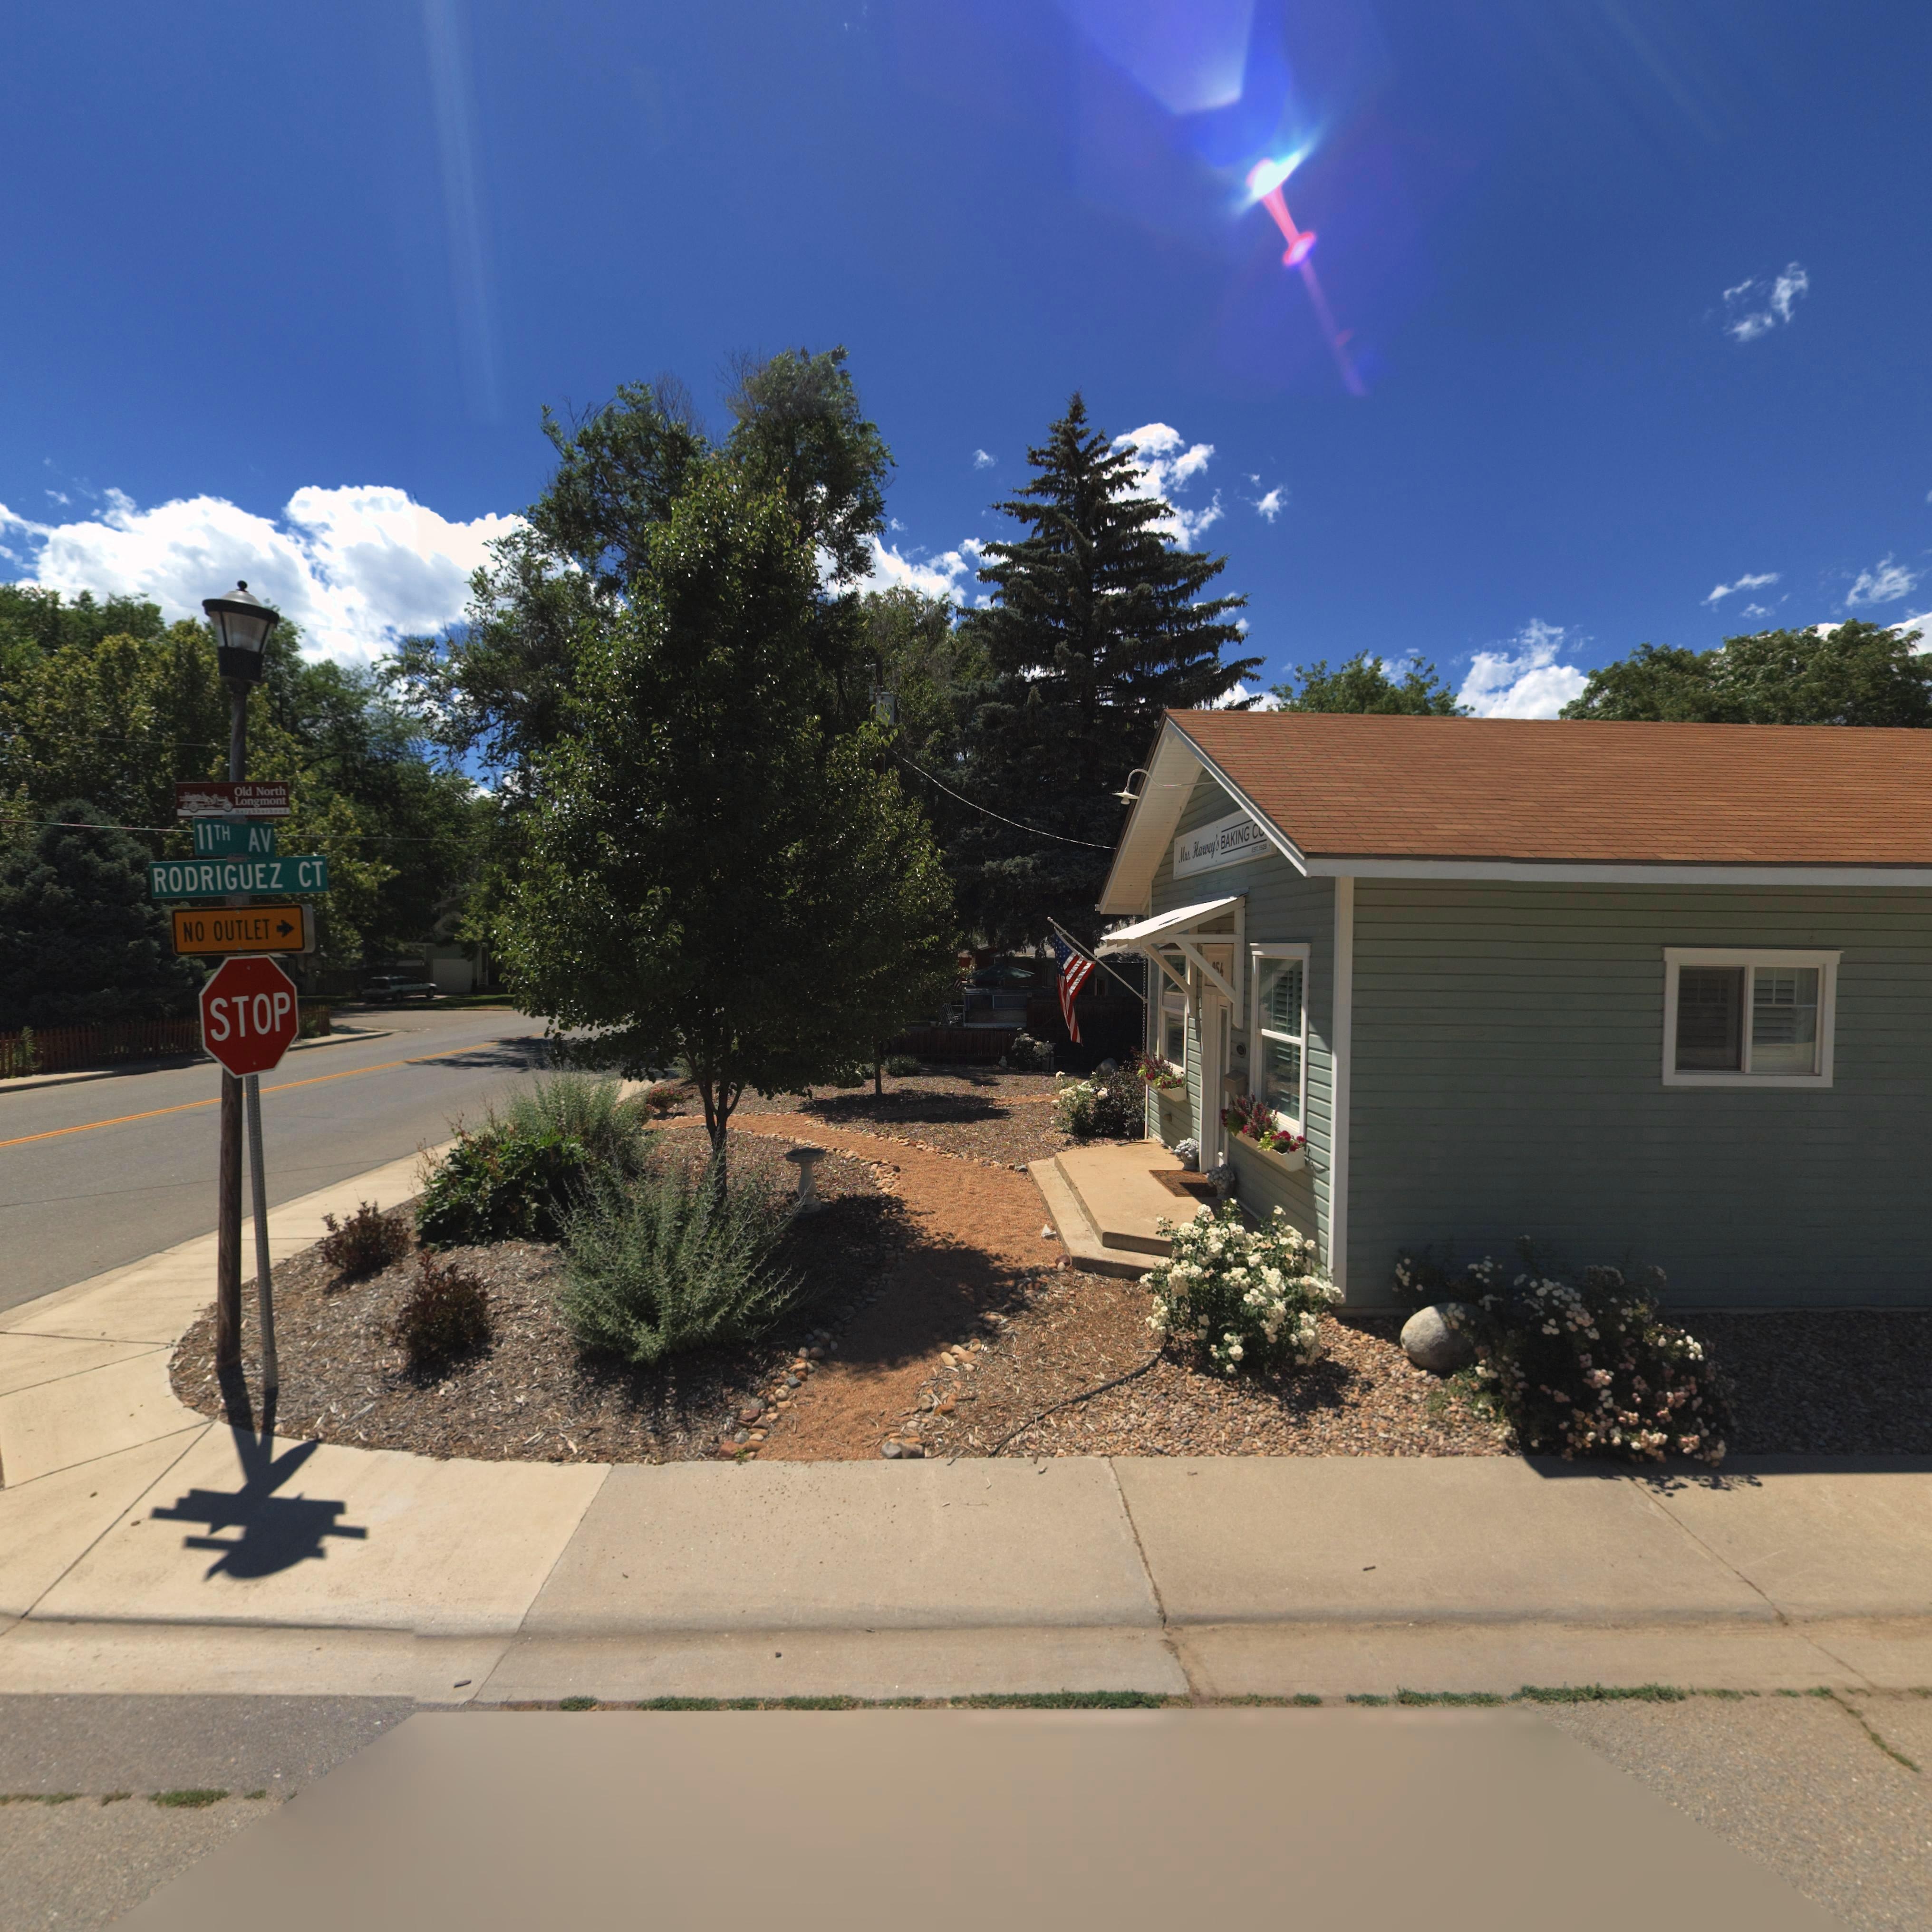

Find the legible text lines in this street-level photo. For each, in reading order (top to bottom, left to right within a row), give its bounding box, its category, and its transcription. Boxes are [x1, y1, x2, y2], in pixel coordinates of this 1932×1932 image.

[196, 822, 272, 854] StreetName: 11TH AV
[1178, 823, 1265, 863] BusinessName: Mrs. Harvey's BAKING C*
[152, 860, 324, 893] StreetName: RODRIGUEZ CT
[1211, 961, 1224, 977] StreetNumber: **4